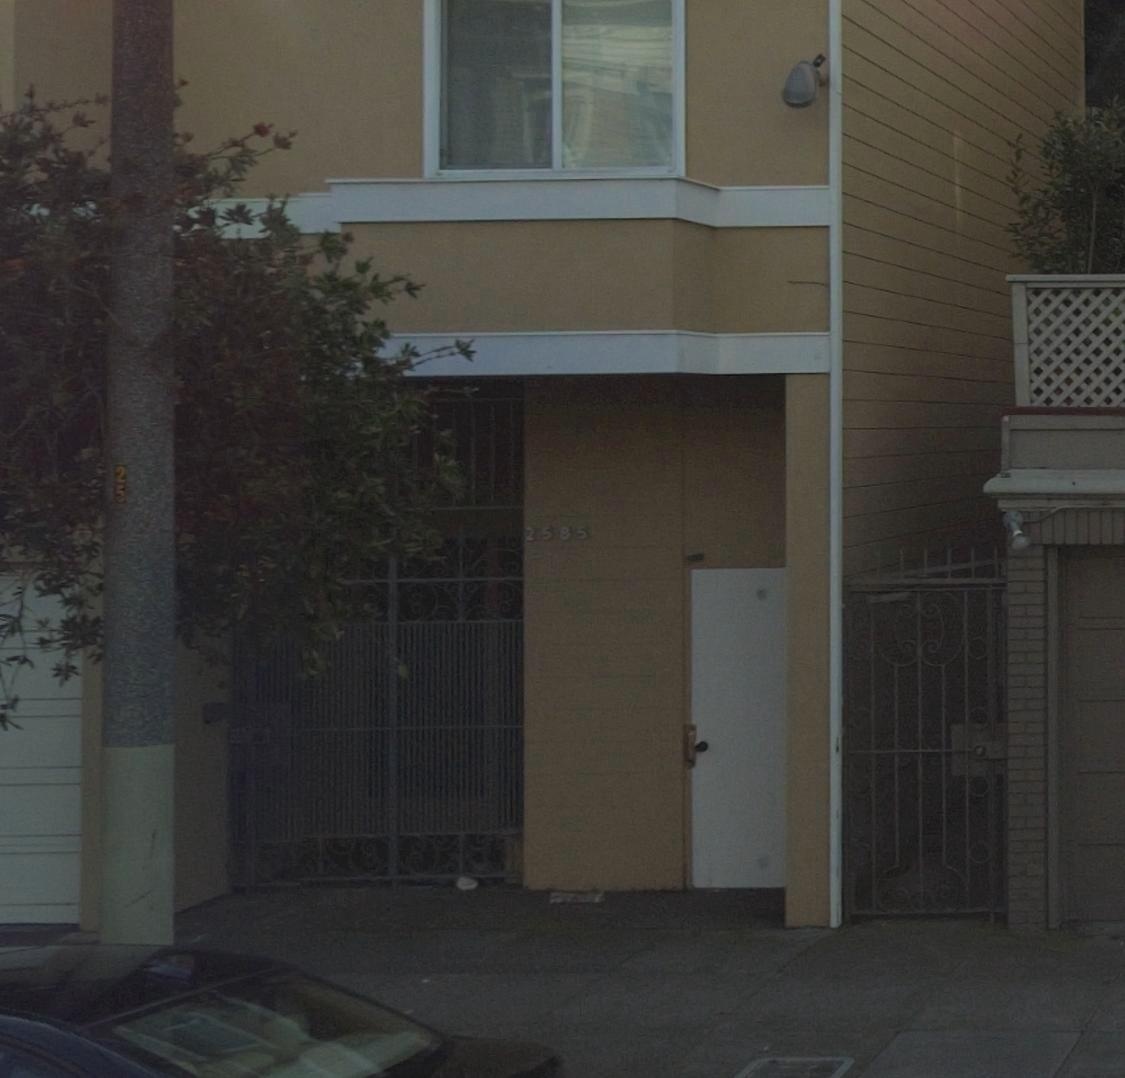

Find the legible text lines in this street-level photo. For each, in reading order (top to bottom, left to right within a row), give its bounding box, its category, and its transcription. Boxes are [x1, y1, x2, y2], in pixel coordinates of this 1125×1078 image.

[114, 463, 128, 503] None: 25
[523, 523, 591, 544] StreetNumber: 2585